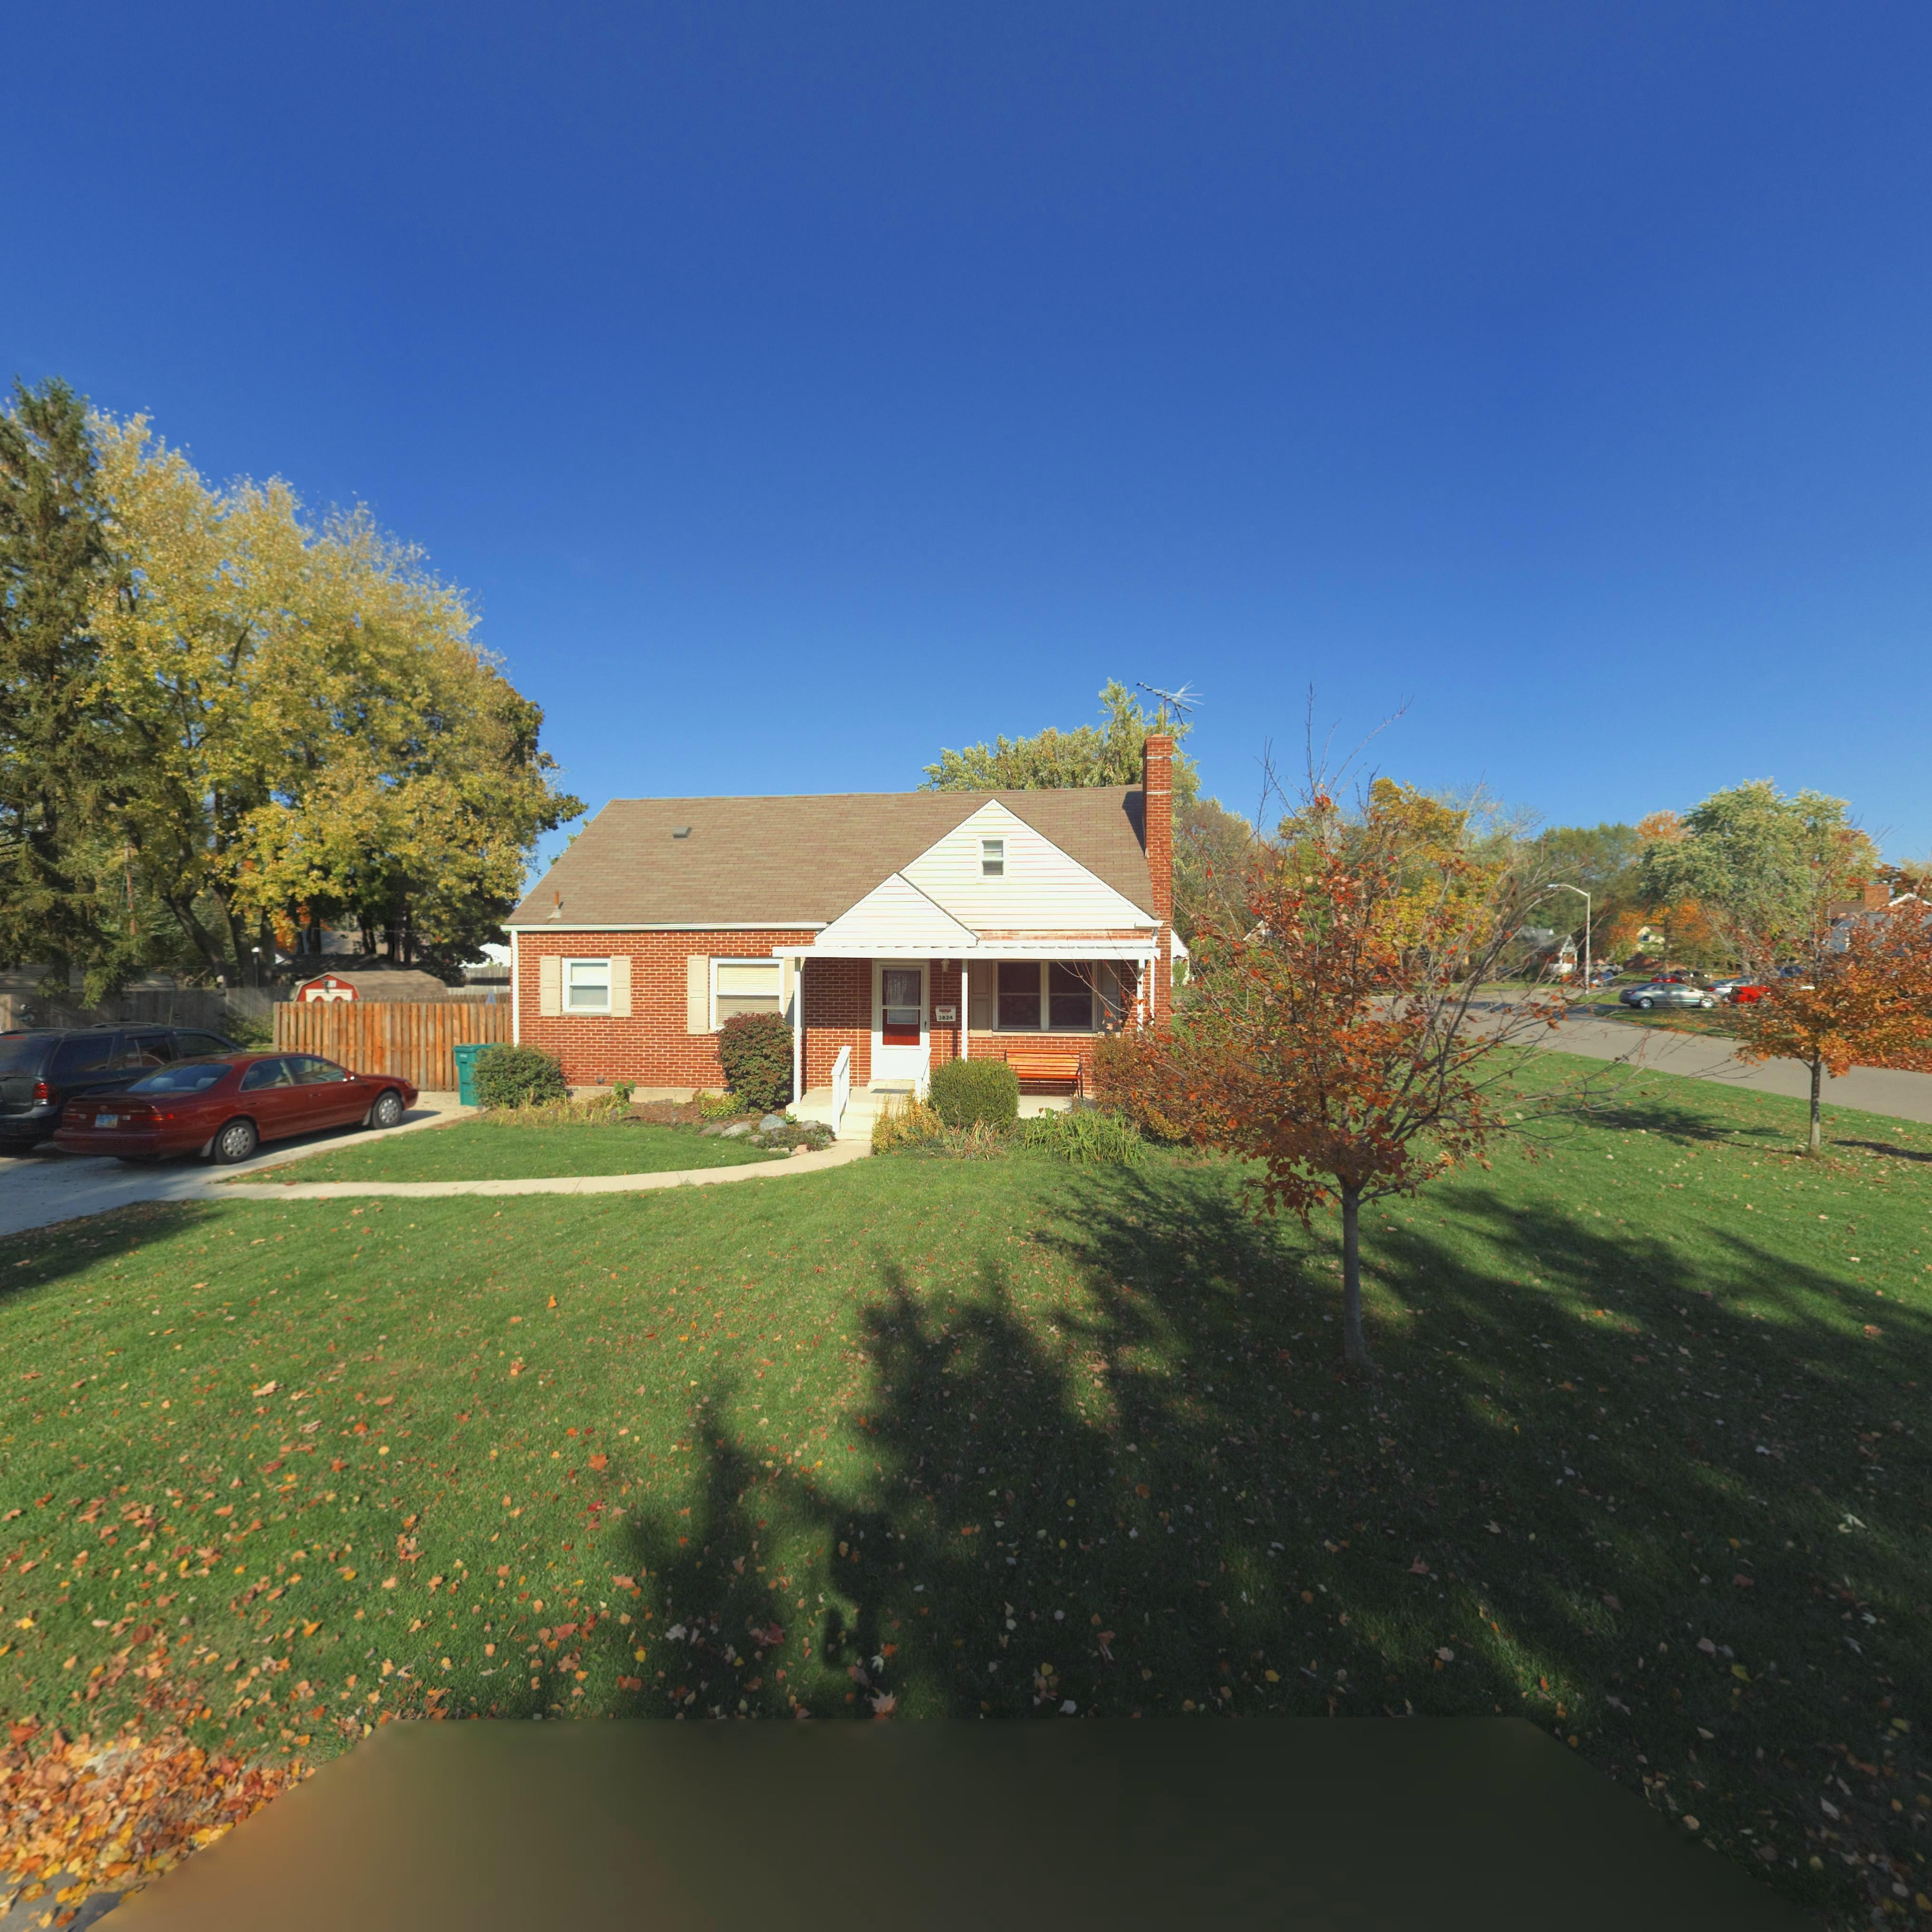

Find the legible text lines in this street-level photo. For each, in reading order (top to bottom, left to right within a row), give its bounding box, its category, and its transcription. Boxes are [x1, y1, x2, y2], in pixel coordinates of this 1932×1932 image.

[938, 1014, 954, 1021] StreetNumber: 3824